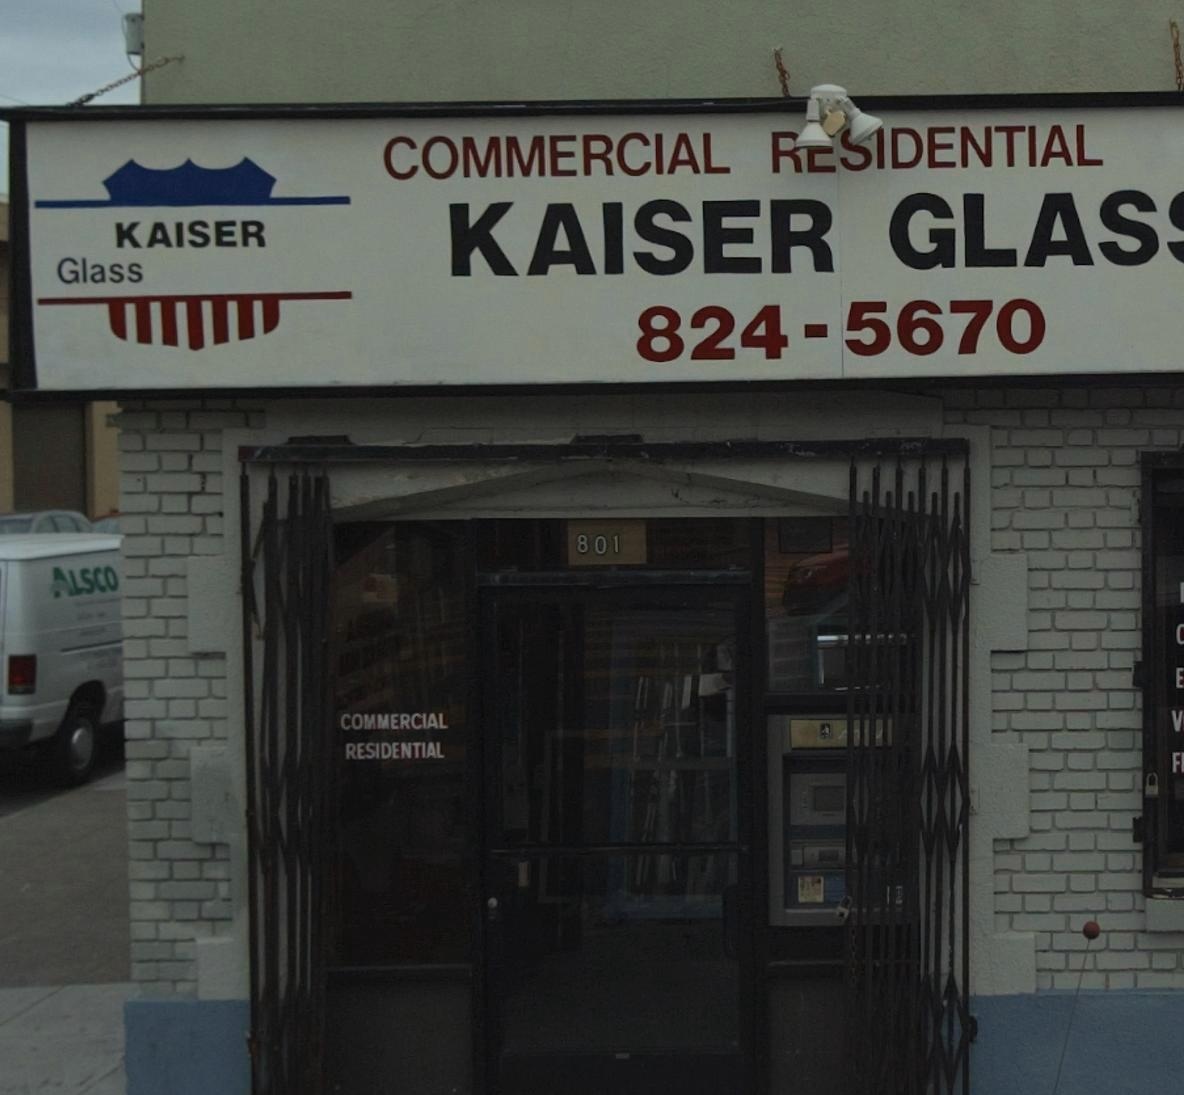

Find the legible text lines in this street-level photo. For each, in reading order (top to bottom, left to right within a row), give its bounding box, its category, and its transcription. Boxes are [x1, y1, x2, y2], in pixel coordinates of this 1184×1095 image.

[383, 122, 1107, 184] None: COMMERCIAL ***IDENTIAL
[113, 218, 270, 250] BusinessName: KAISER
[446, 187, 1165, 280] BusinessName: KAISER GLAS
[56, 255, 147, 286] BusinessName: Glass
[636, 296, 1049, 366] None: 824-5670
[576, 533, 621, 555] StreetNumber: 801
[64, 563, 122, 597] None: LACO
[339, 711, 451, 732] None: COMMERCIAL
[344, 740, 447, 762] None: RESIDENTIAL